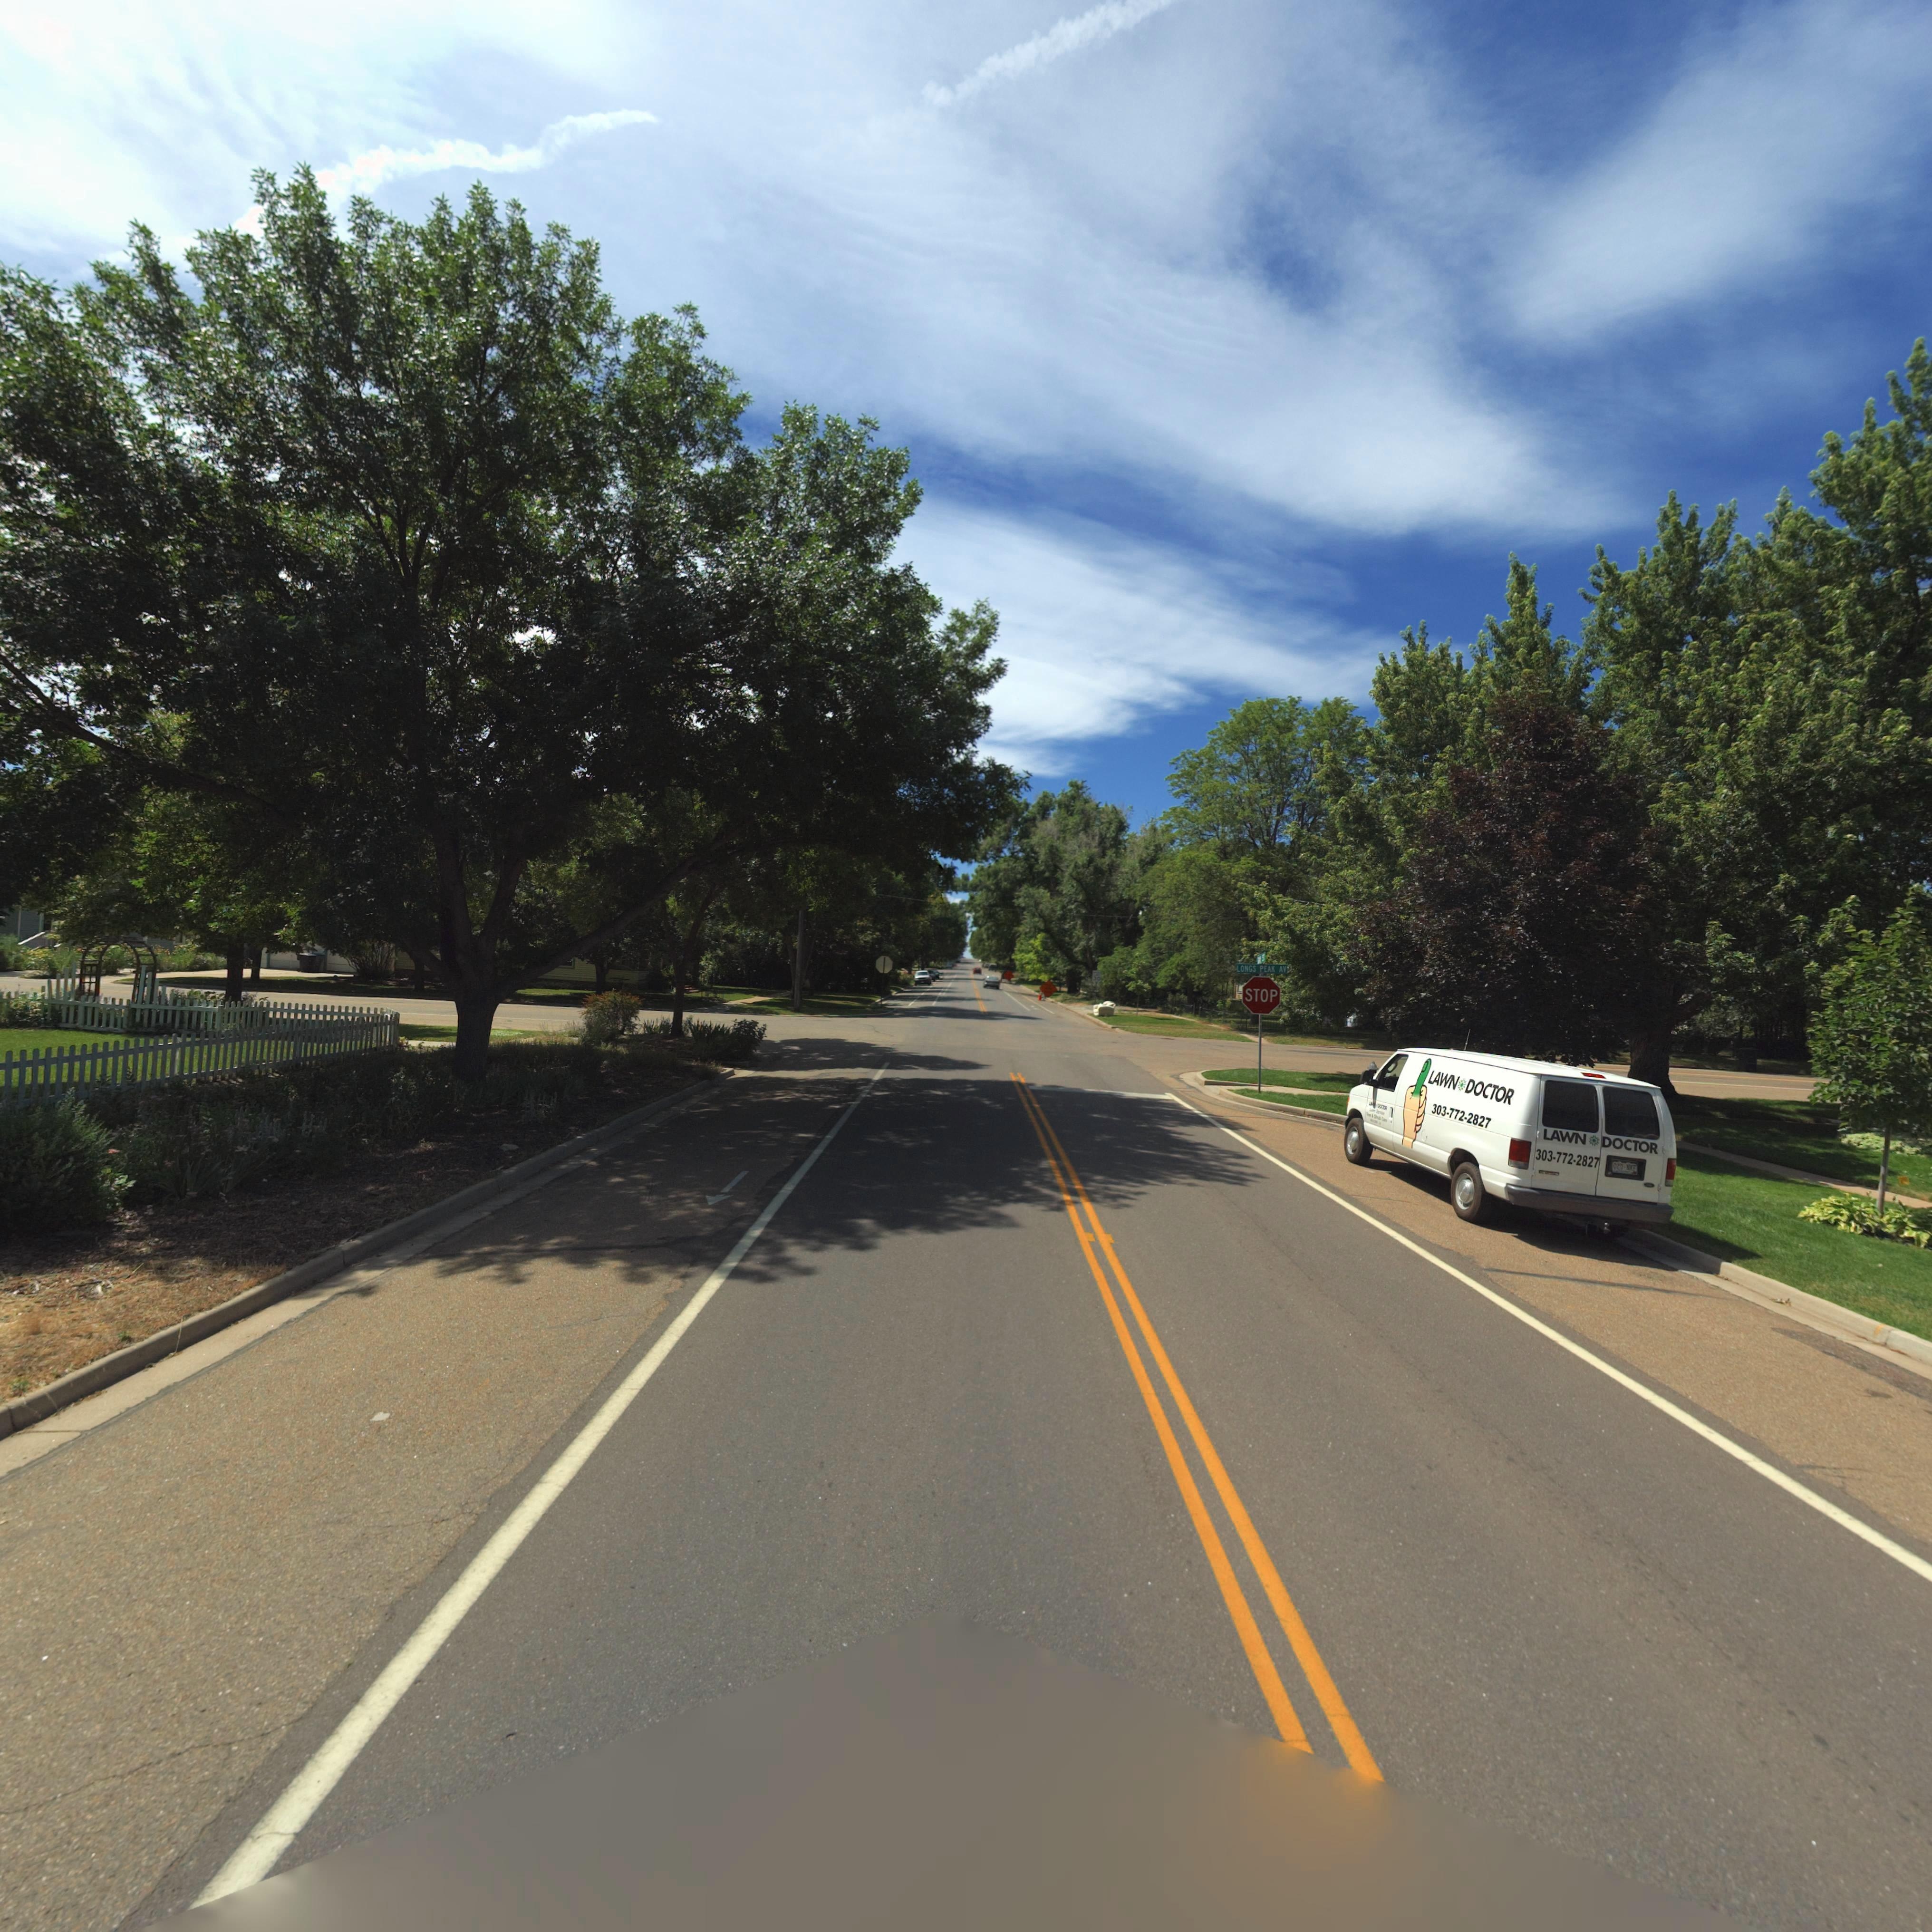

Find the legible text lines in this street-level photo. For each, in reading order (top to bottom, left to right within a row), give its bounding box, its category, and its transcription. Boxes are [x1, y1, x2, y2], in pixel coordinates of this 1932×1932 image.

[1236, 965, 1288, 973] StreetName: LONGS PEAK AV